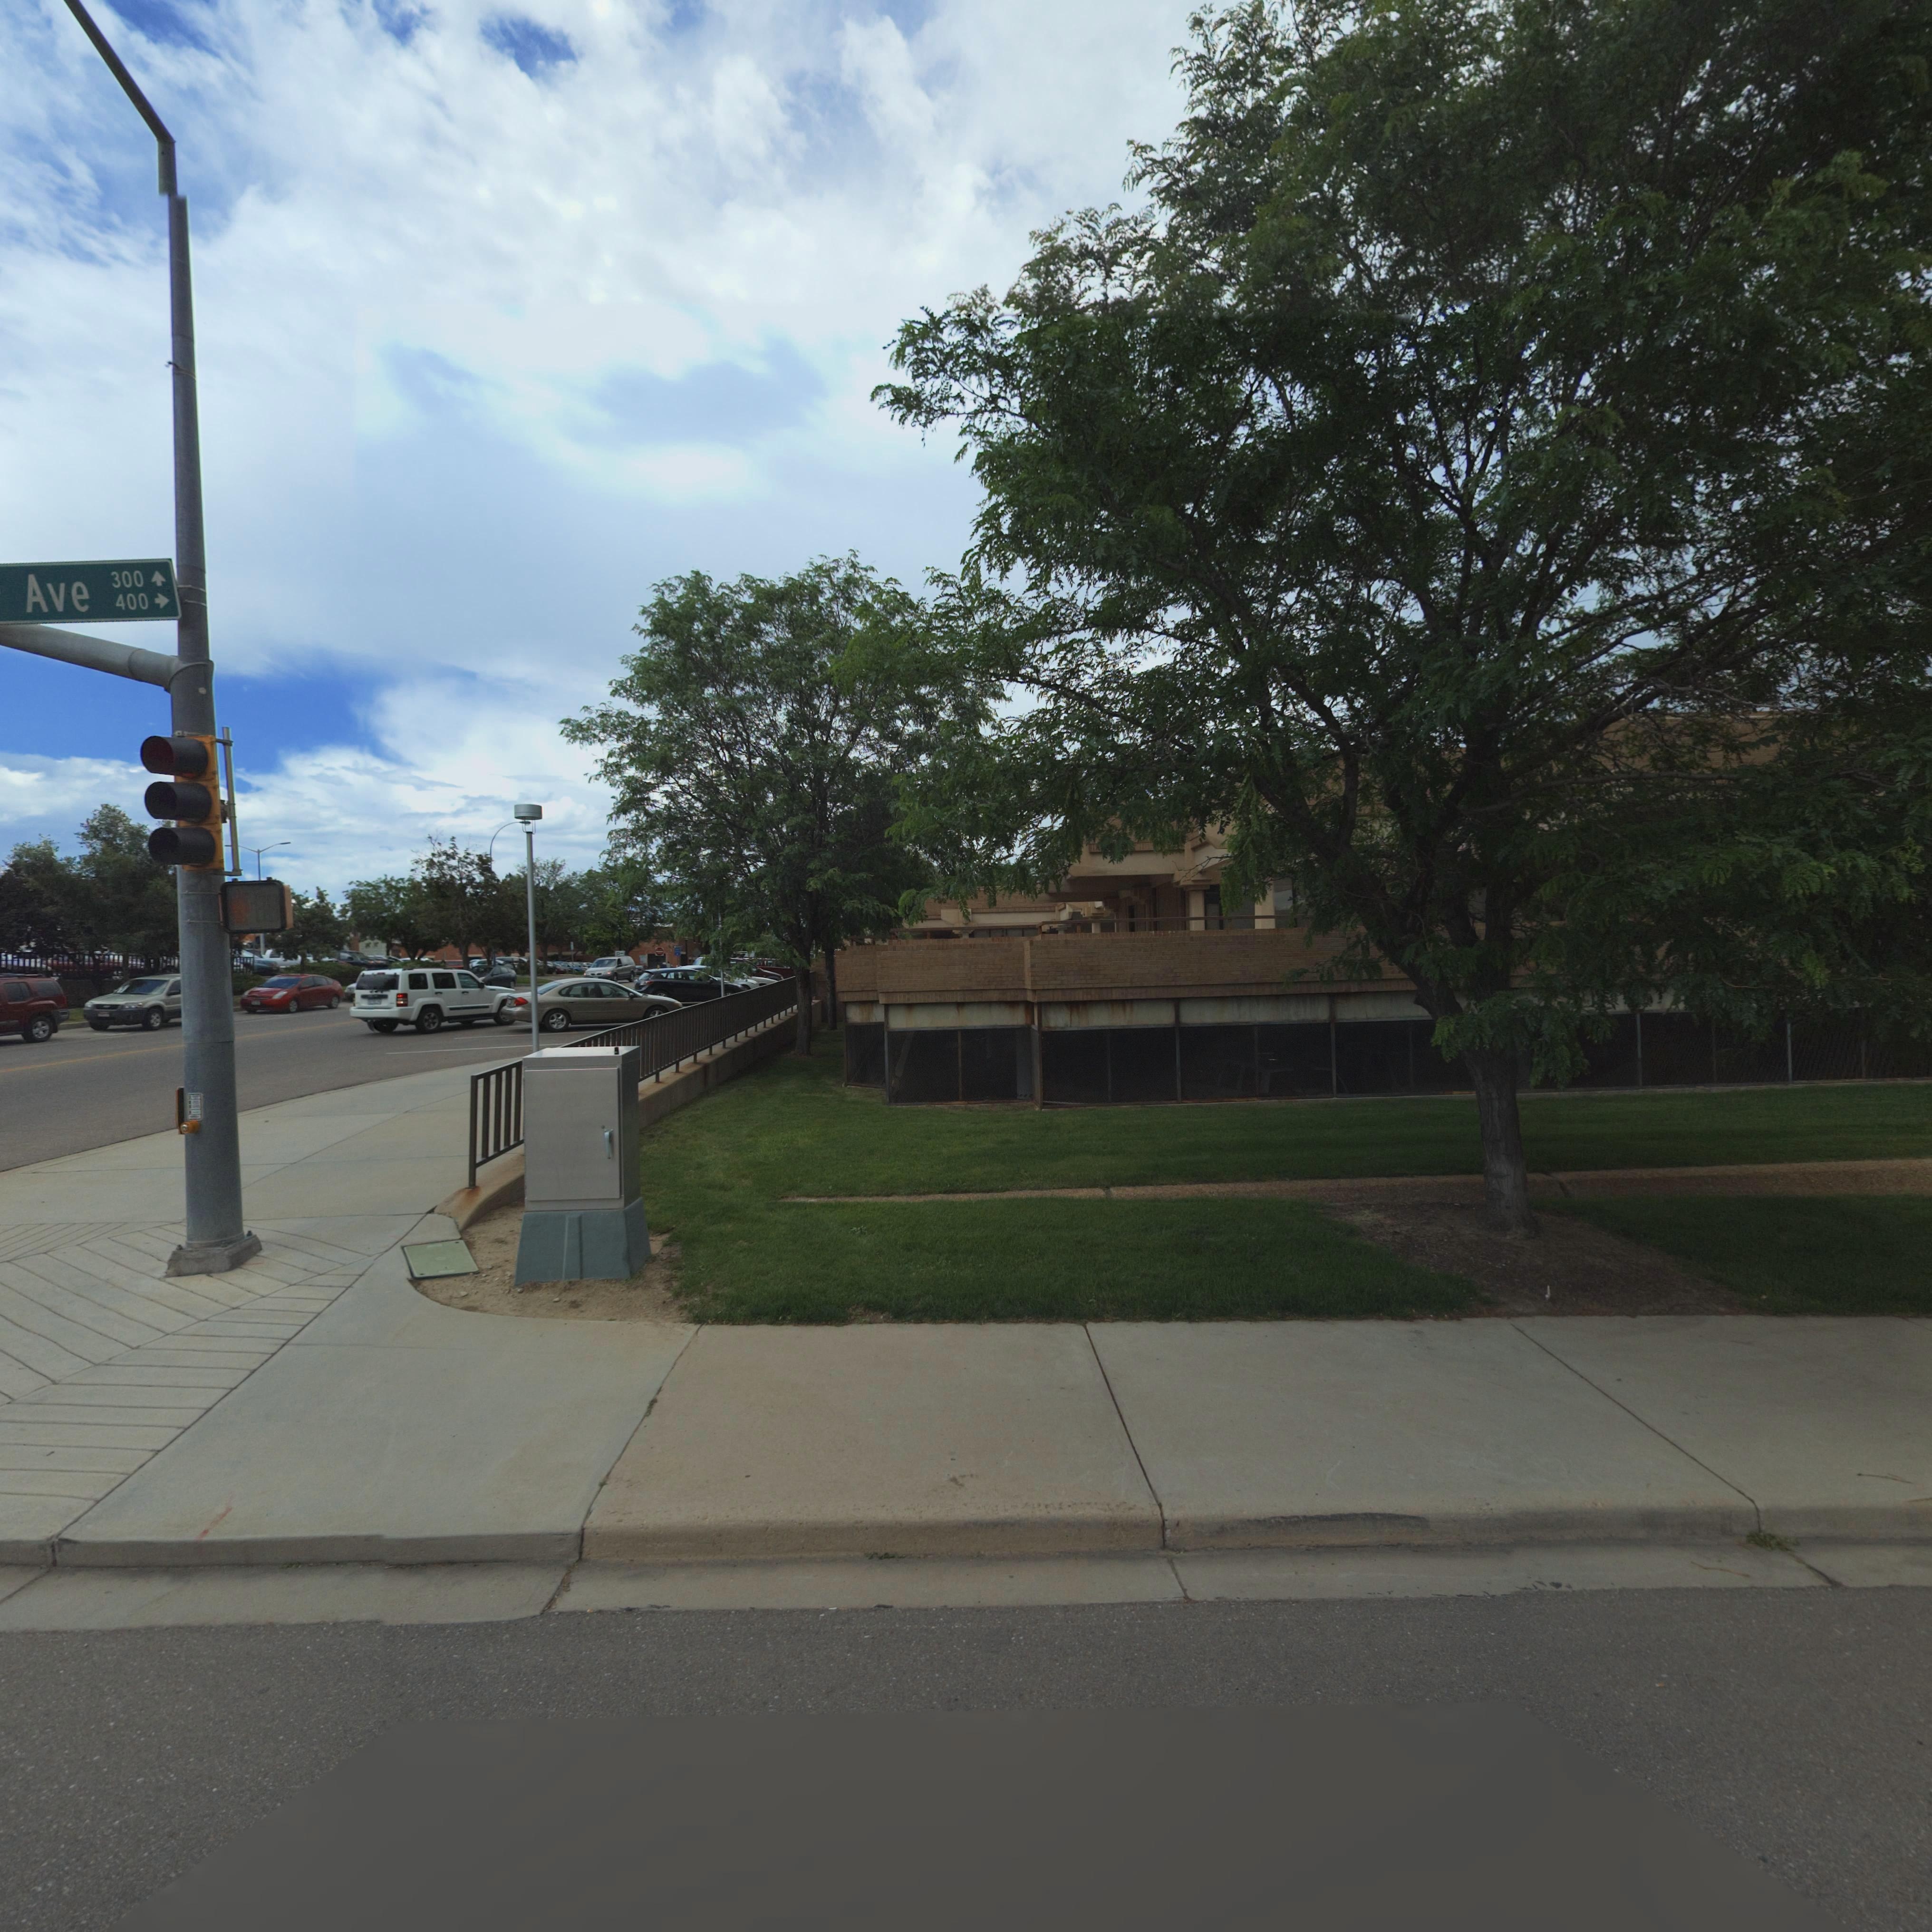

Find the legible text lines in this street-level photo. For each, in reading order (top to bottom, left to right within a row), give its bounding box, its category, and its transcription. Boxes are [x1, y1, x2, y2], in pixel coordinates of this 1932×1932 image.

[25, 573, 89, 612] StreetName: Ave
[115, 592, 170, 610] StreetNumberRange: 400->